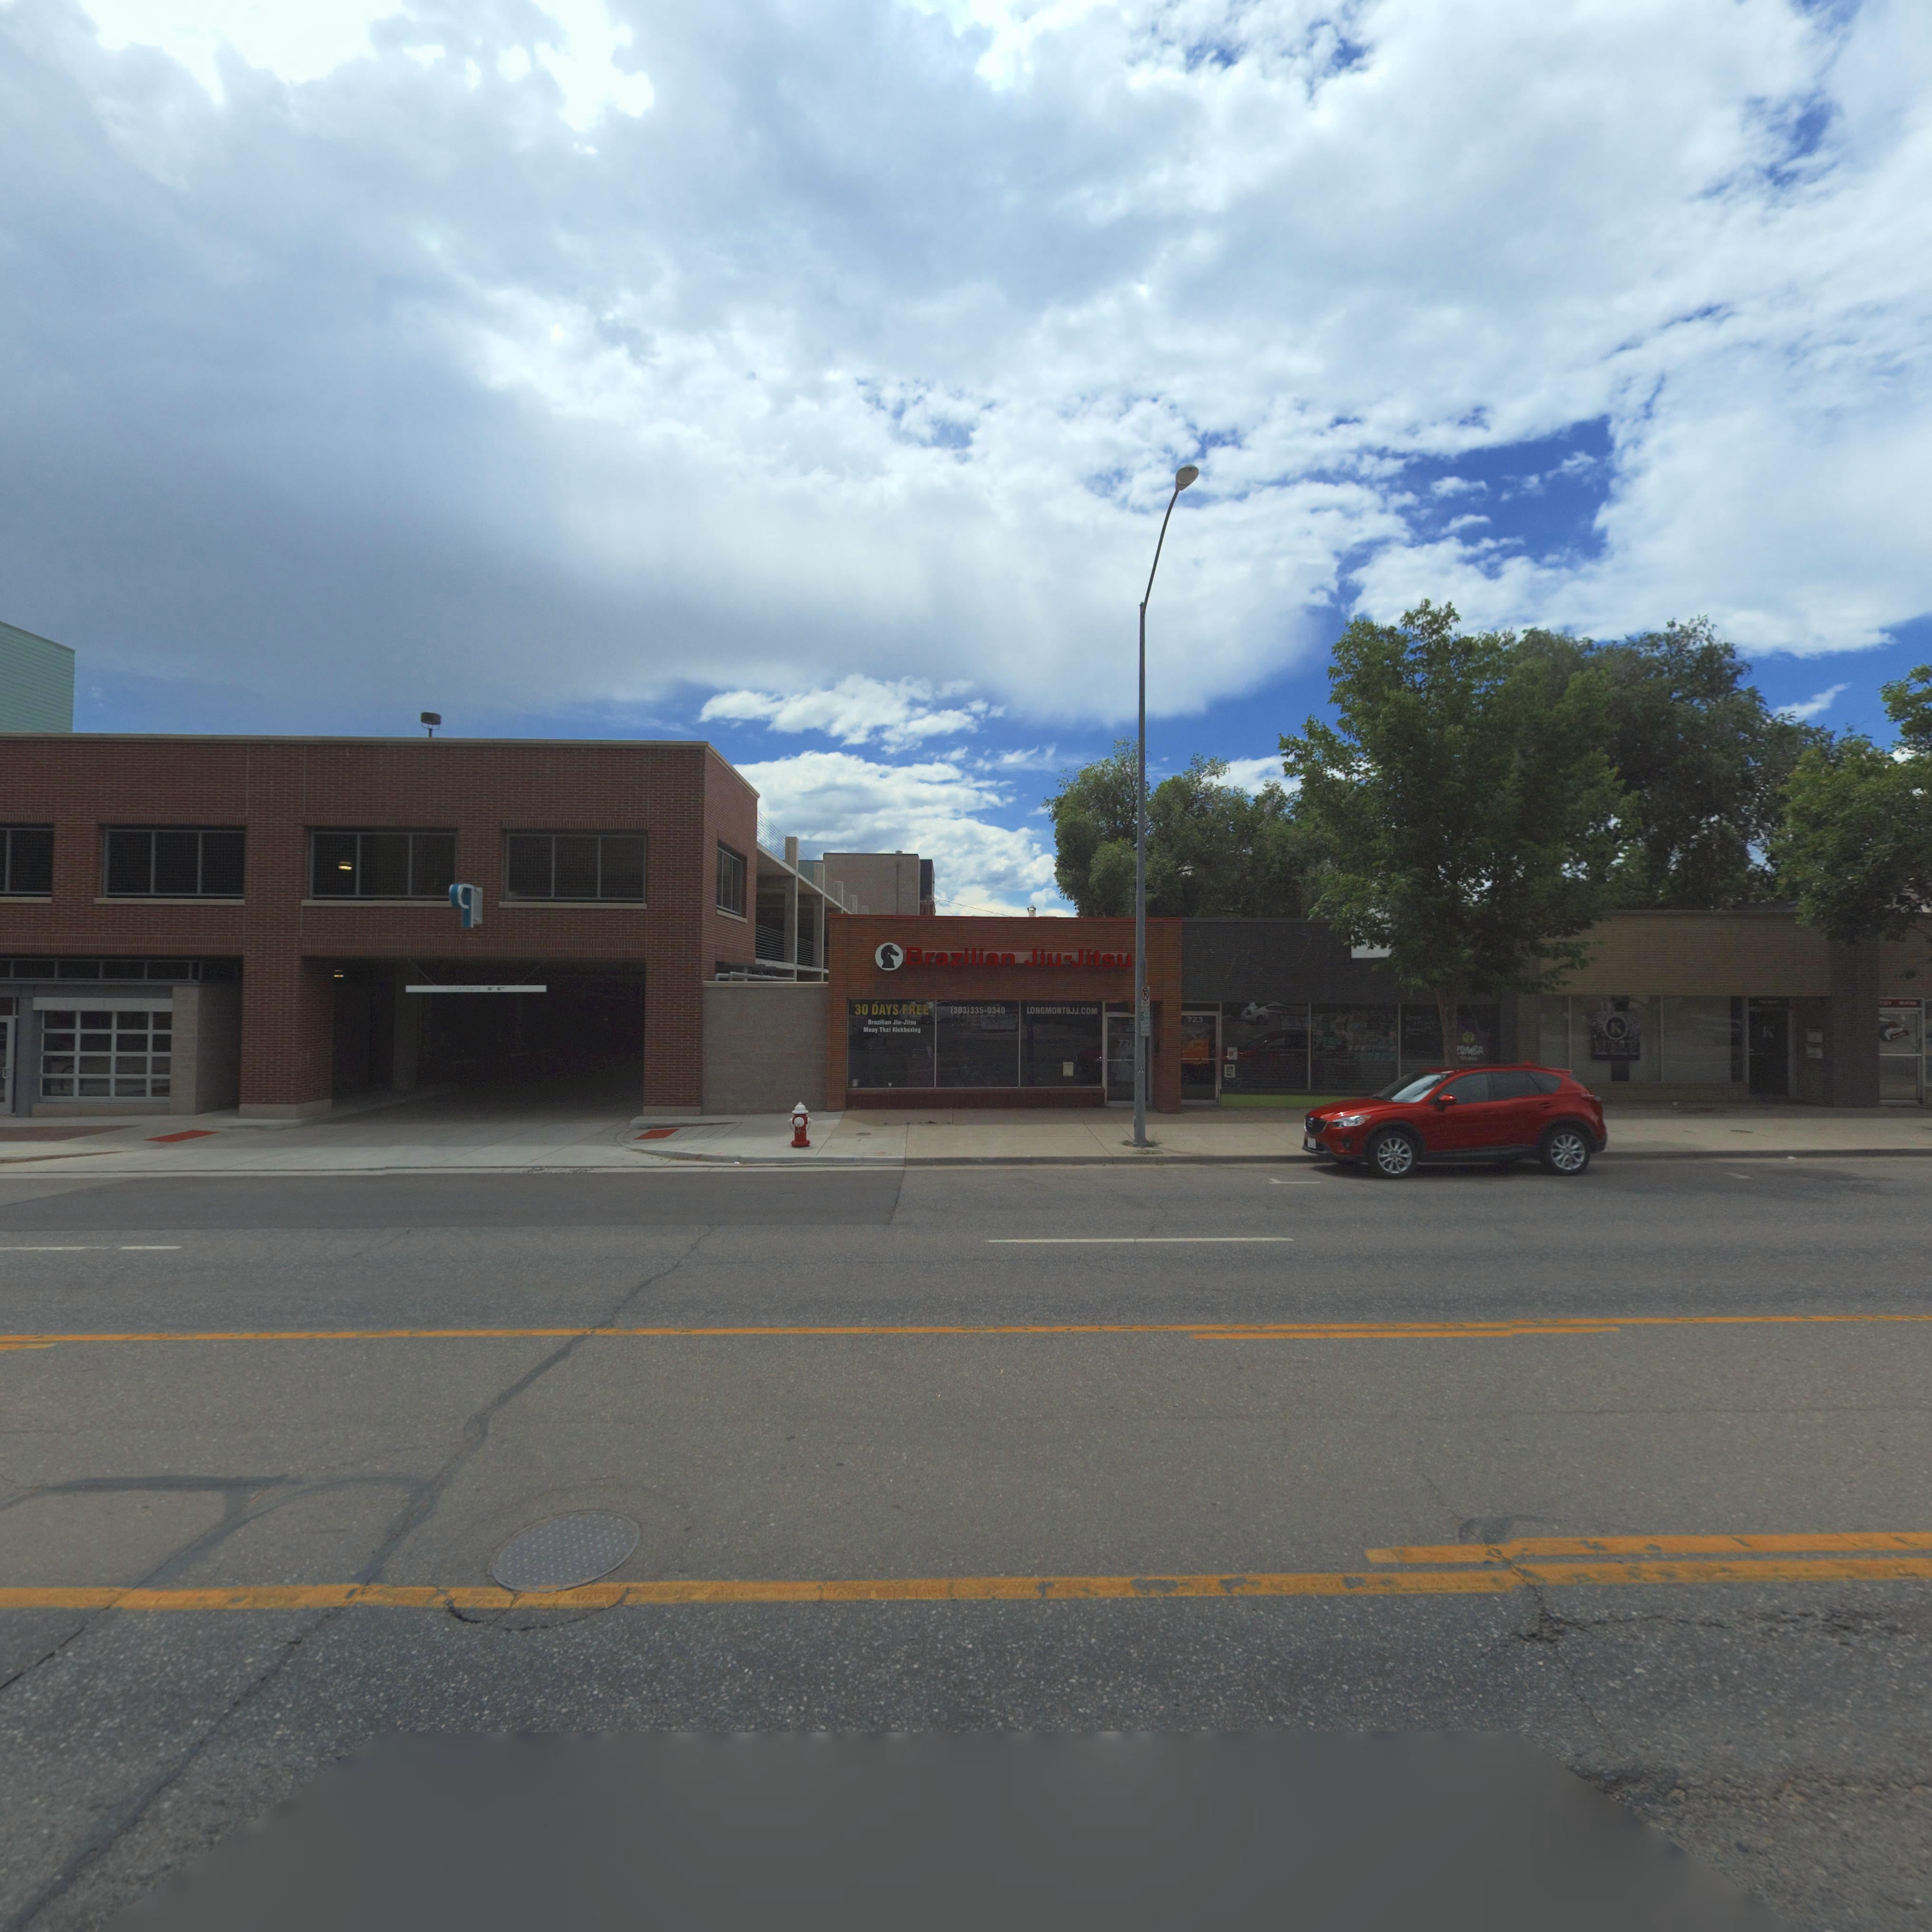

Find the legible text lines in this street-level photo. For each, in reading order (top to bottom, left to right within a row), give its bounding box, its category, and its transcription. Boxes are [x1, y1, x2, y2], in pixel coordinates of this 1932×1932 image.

[1186, 1016, 1203, 1023] StreetNumber: 723
[1118, 1039, 1132, 1046] StreetNumber: 721
[1594, 1039, 1637, 1051] BusinessName: KUK*CH